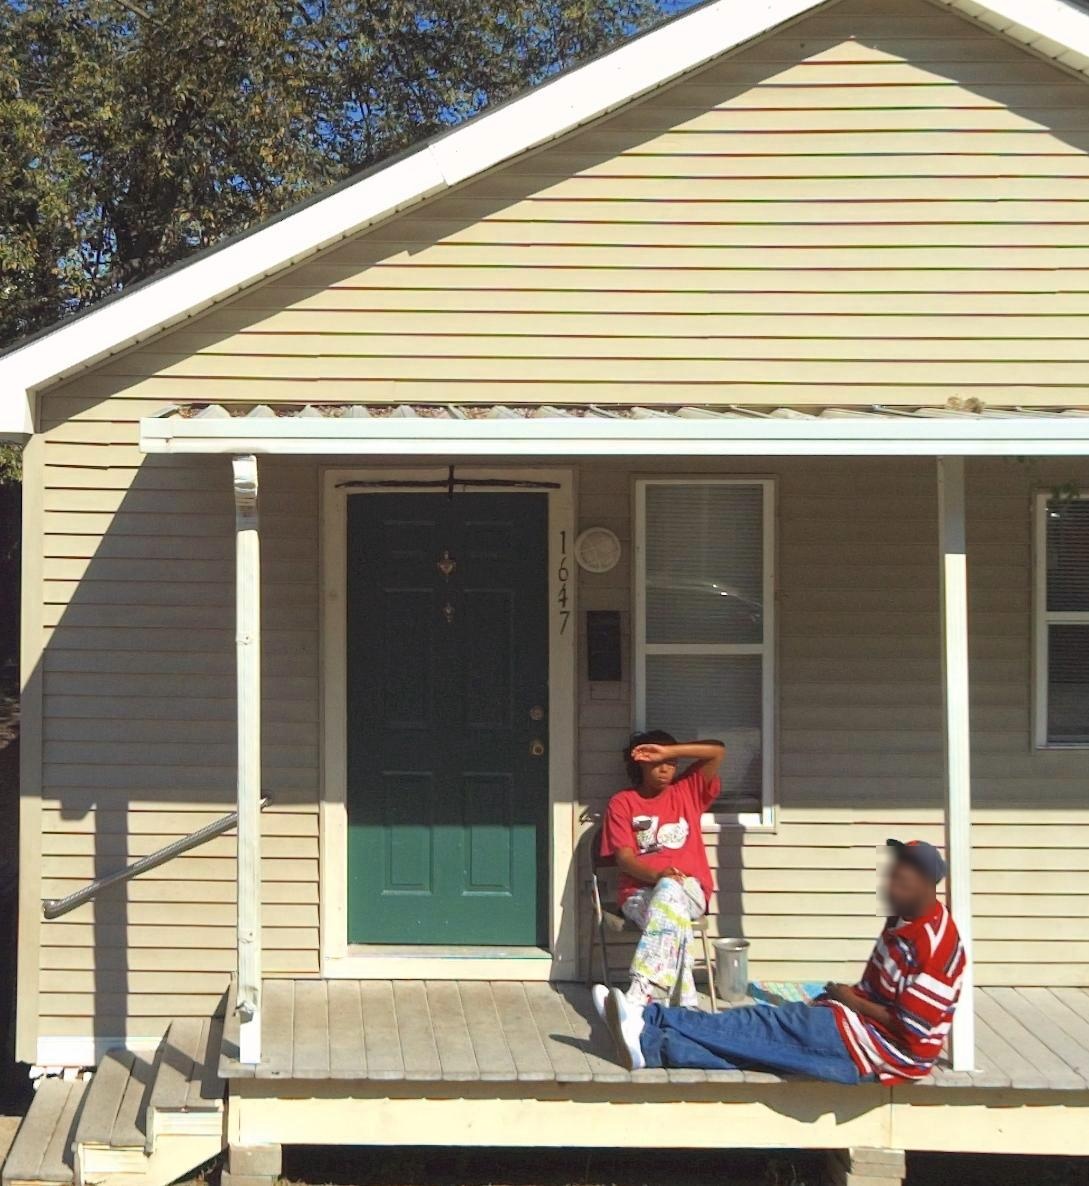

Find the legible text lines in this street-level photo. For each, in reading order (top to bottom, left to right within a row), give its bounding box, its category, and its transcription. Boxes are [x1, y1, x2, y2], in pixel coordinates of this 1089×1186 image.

[555, 528, 572, 638] StreetNumber: 1647